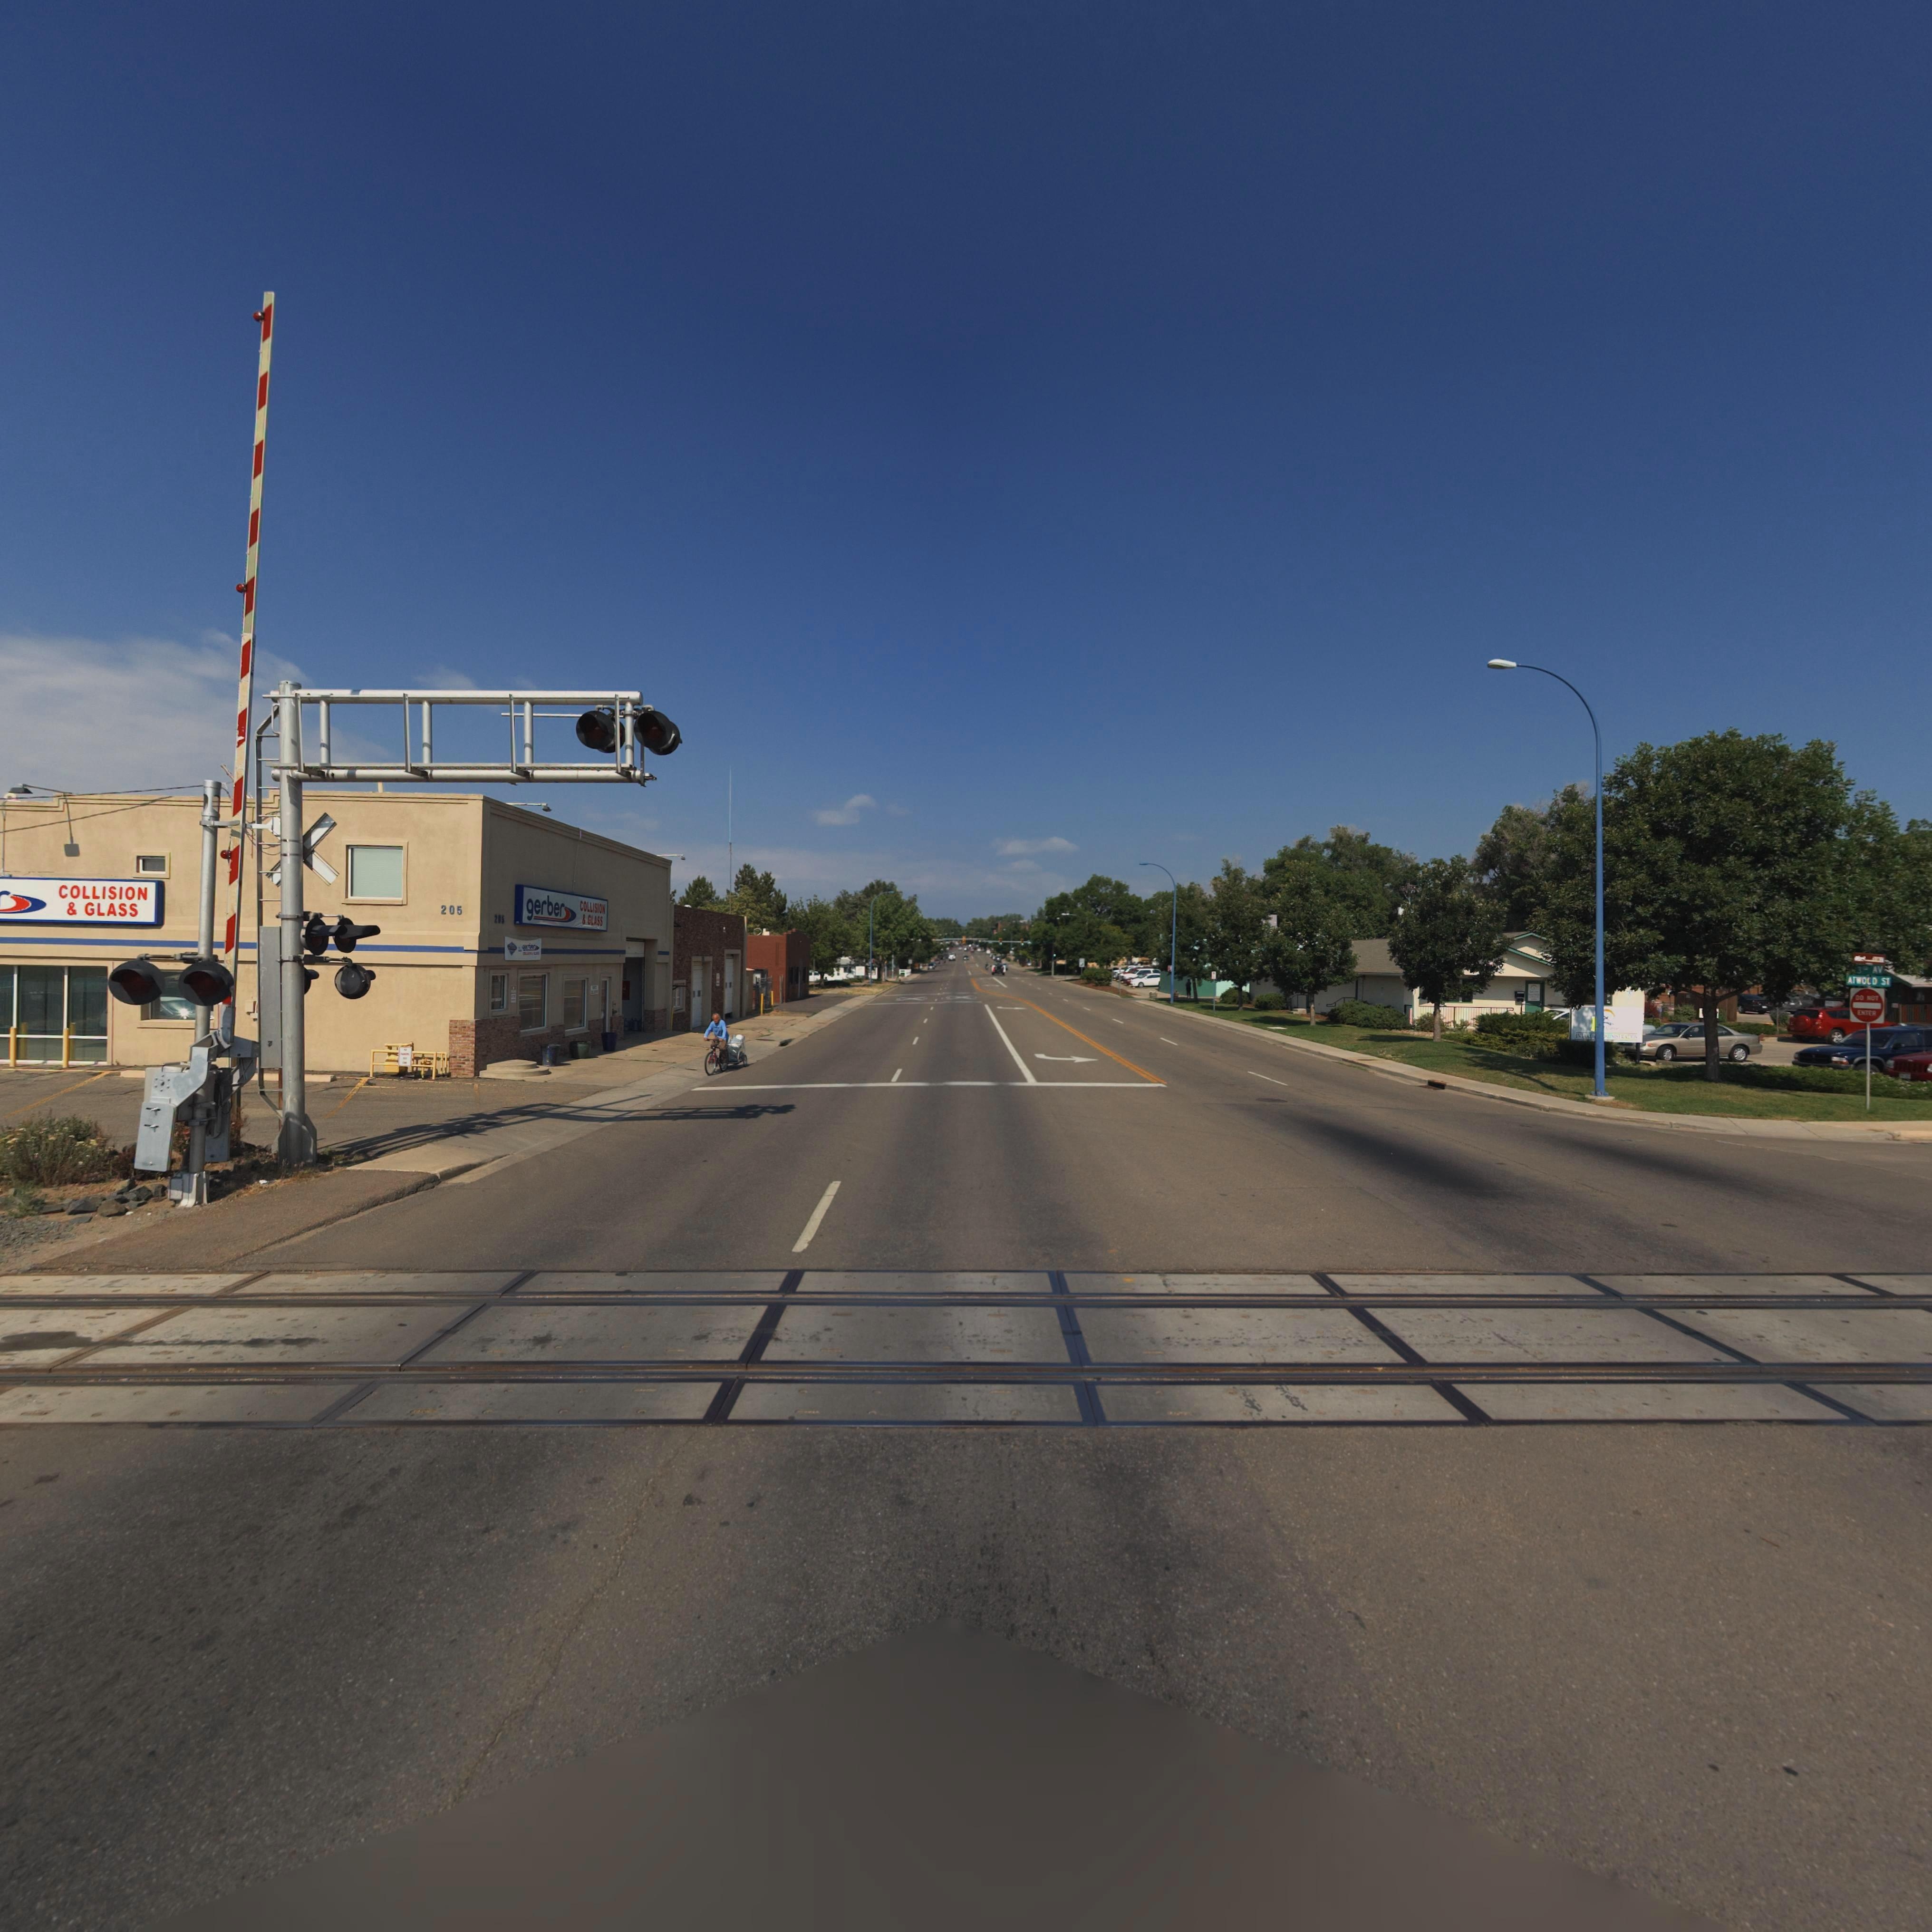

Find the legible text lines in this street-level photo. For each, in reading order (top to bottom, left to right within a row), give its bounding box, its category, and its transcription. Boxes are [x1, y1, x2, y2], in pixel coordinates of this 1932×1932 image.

[57, 883, 149, 901] BusinessName: COLLISION
[66, 900, 139, 918] BusinessName: & GLASS
[440, 905, 462, 915] BusinessName: 205
[525, 894, 566, 921] BusinessName: gerber
[579, 900, 606, 914] BusinessName: COLLISION
[494, 913, 505, 924] StreetNumber: 205
[581, 913, 603, 926] BusinessName: & GLASS
[522, 944, 535, 951] BusinessName: g****r
[1856, 966, 1884, 975] StreetName: 3** AV
[1846, 976, 1891, 985] StreetNumberRange: ATWO*D ST